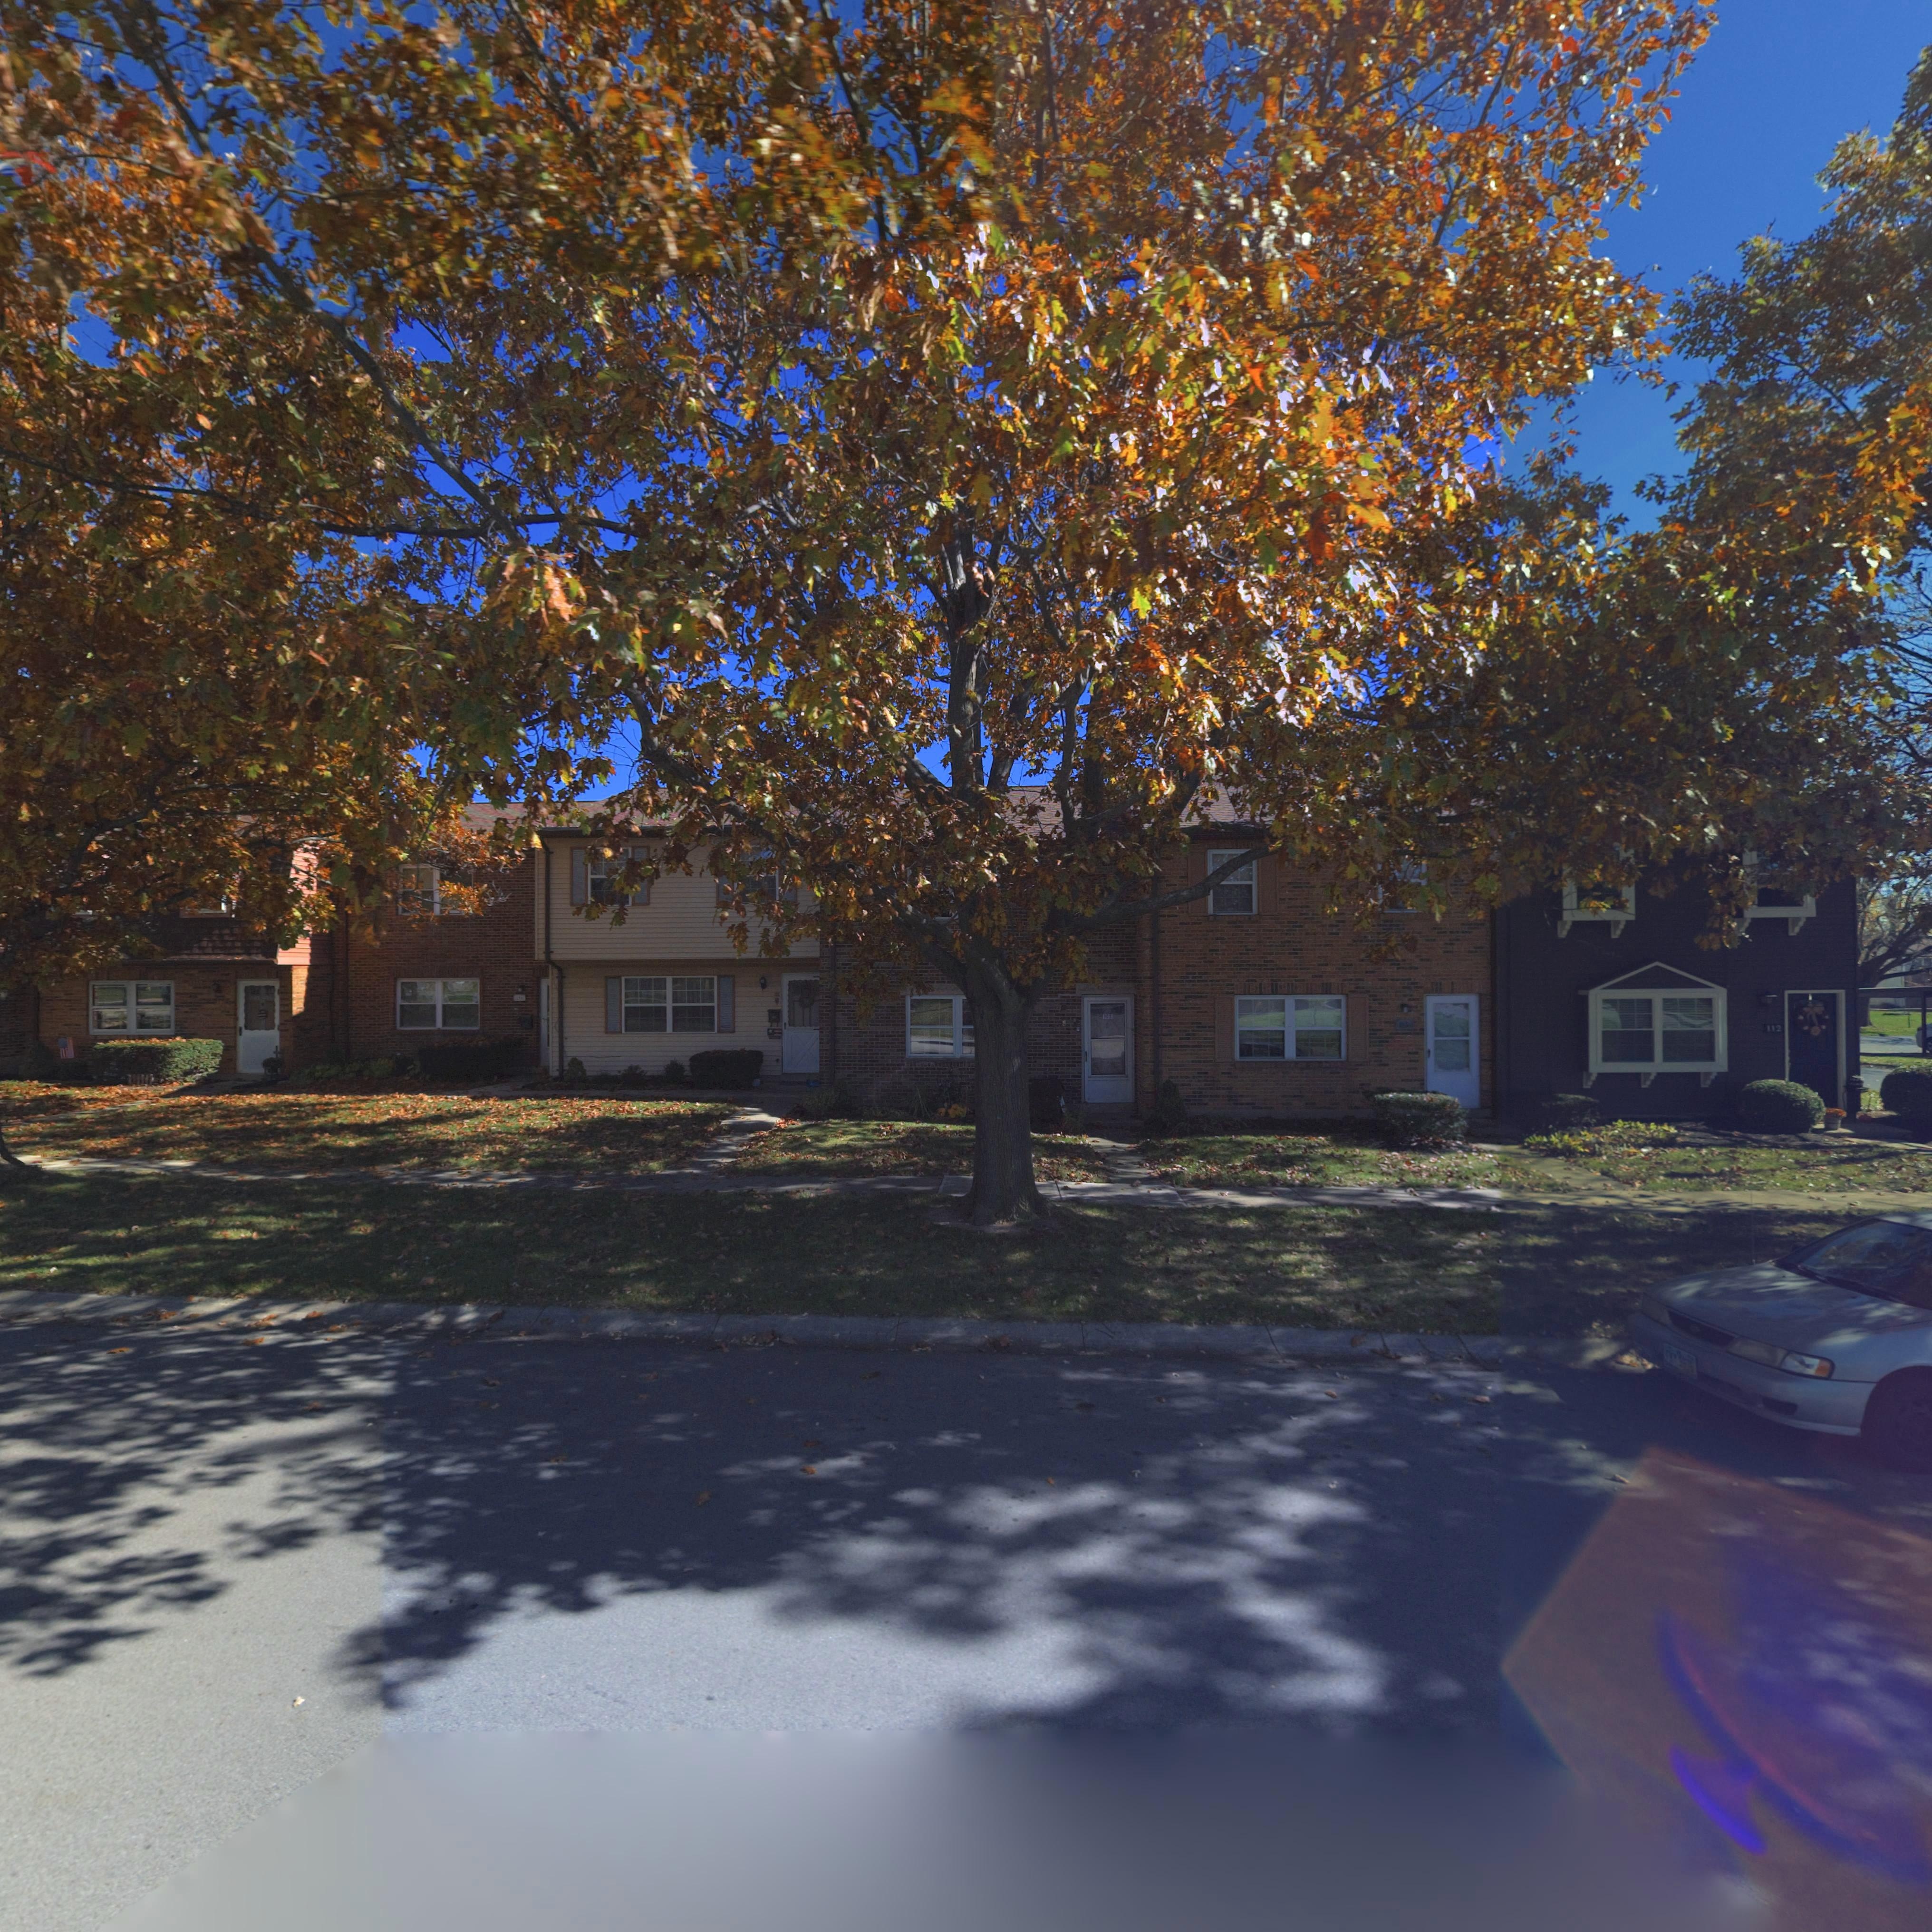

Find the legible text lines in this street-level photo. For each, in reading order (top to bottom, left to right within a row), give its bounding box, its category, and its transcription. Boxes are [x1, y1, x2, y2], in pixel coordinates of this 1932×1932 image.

[1103, 1013, 1112, 1020] StreetNumber: 10*
[1766, 1024, 1783, 1033] StreetNumber: 112